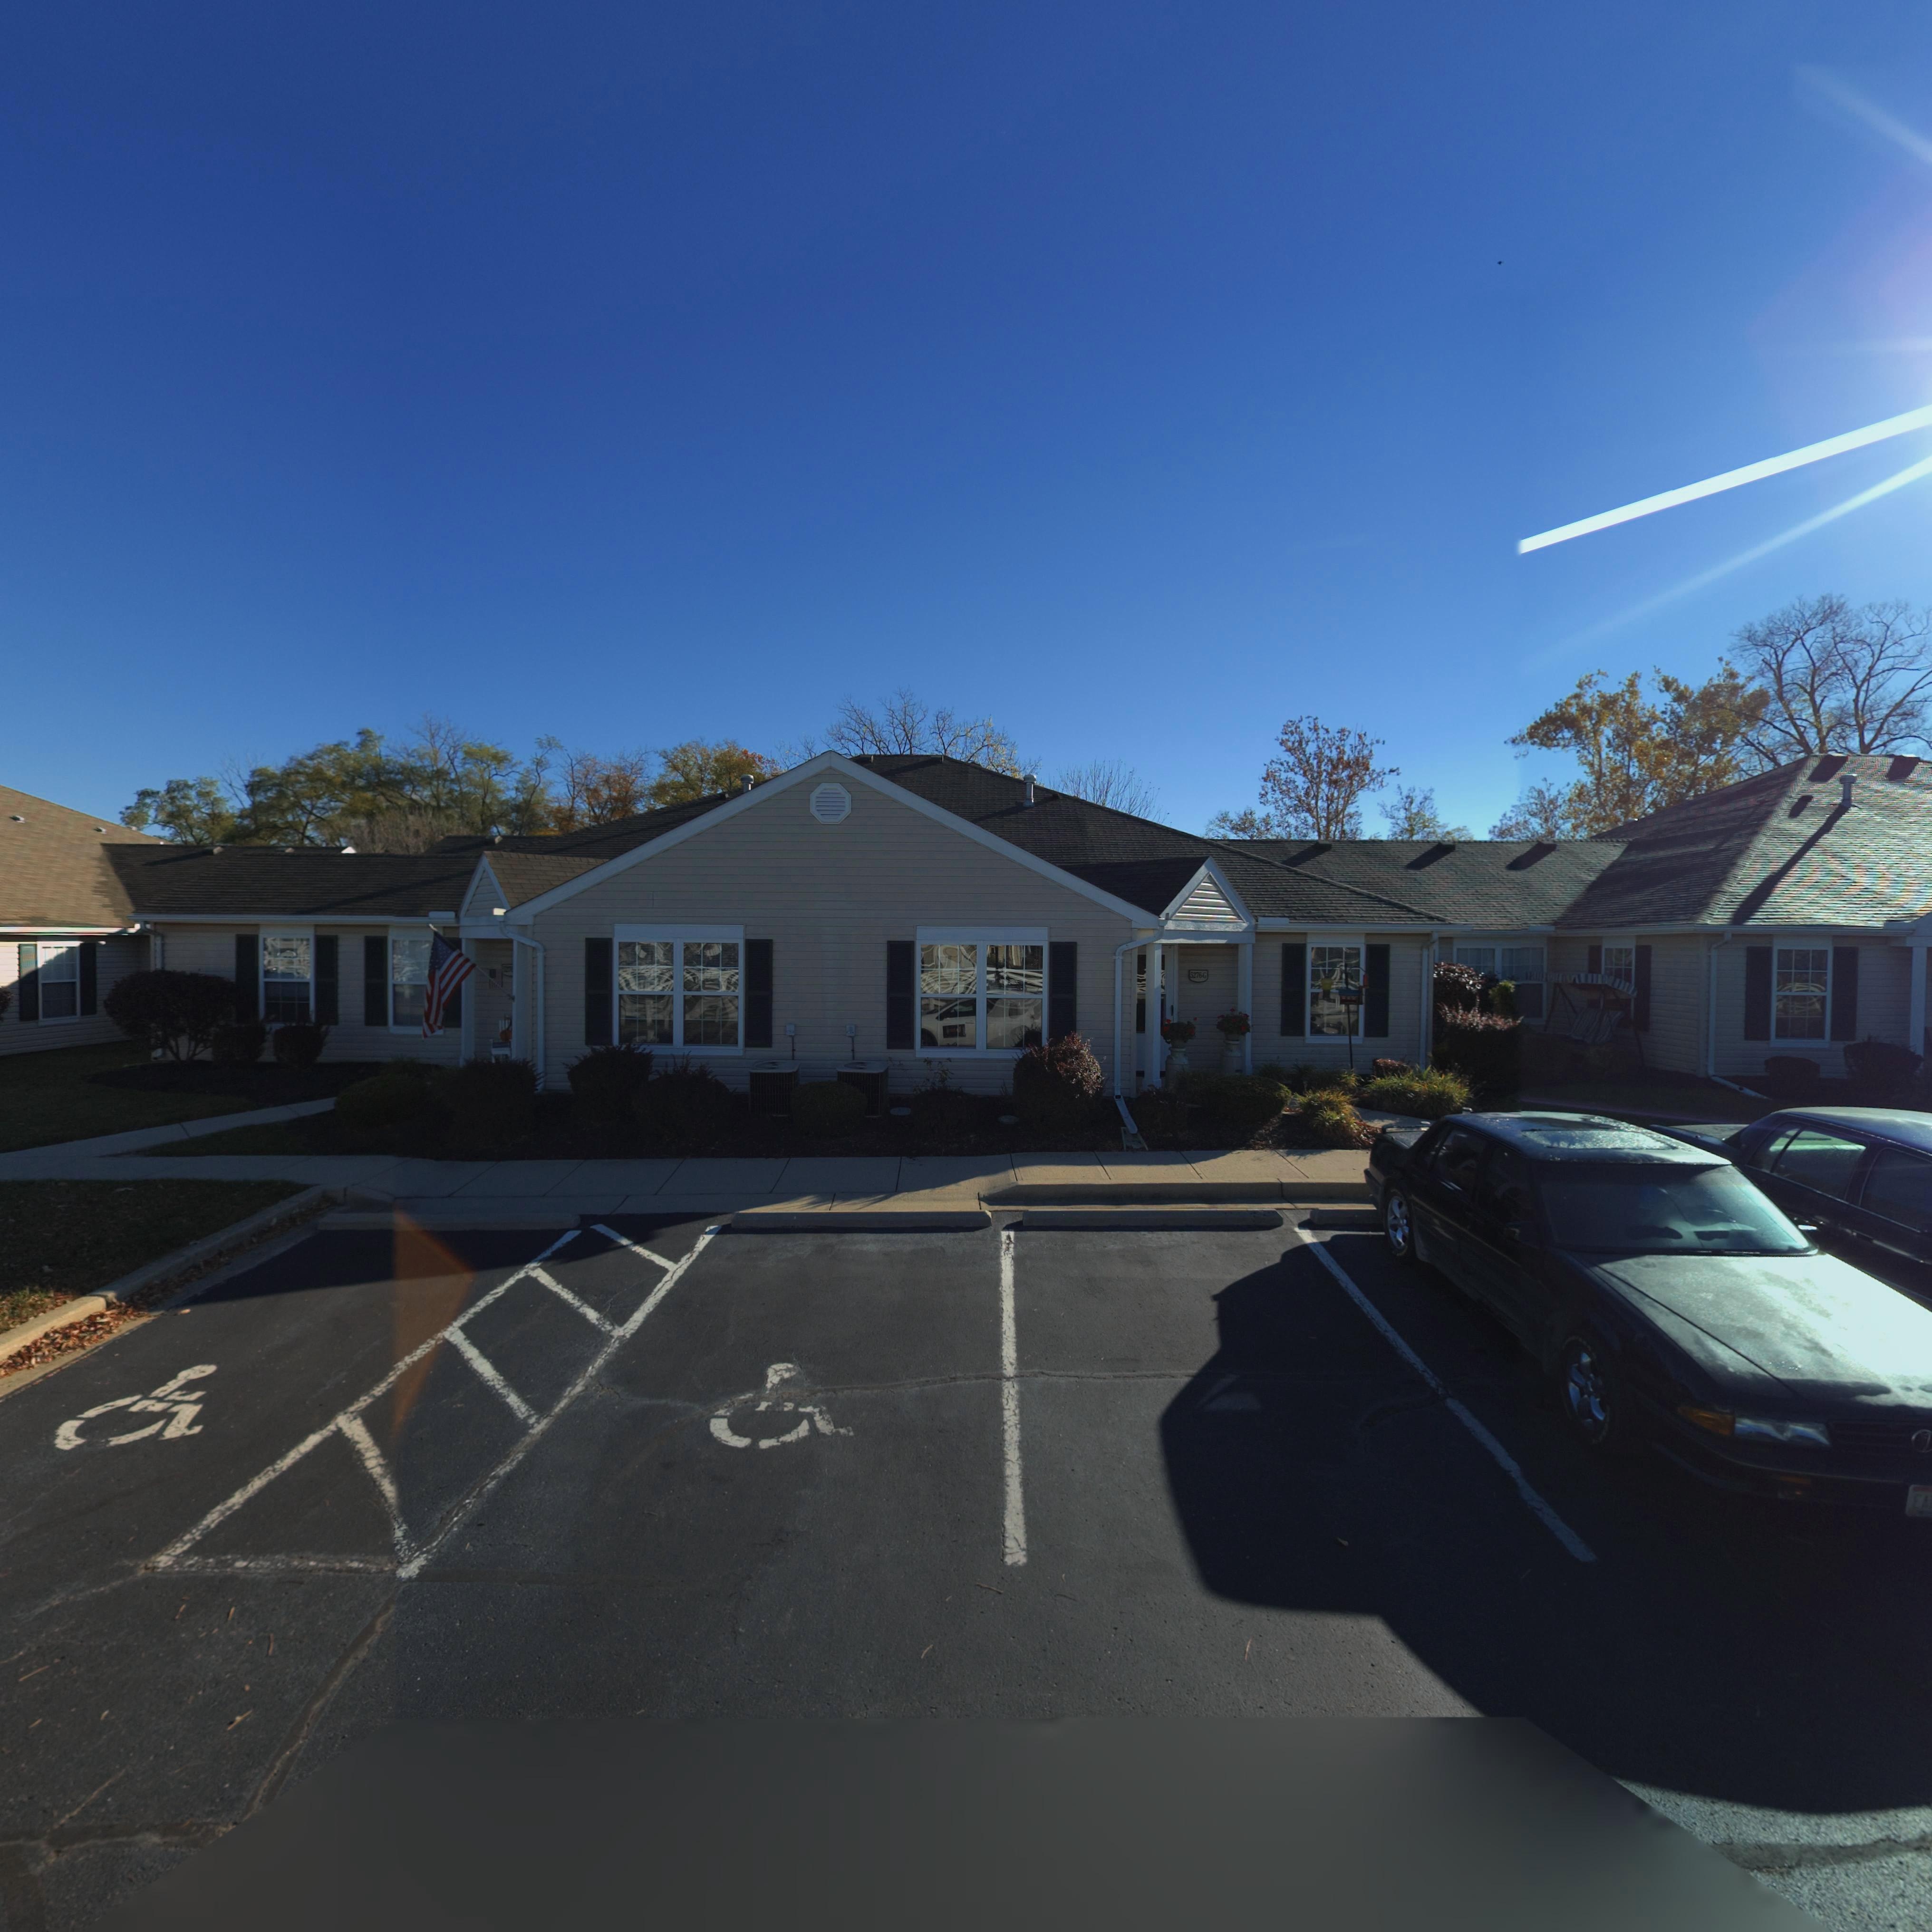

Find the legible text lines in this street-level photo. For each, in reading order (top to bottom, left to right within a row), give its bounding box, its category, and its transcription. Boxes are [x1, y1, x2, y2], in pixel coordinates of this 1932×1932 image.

[1190, 971, 1207, 979] StreetNumber: 5276-G